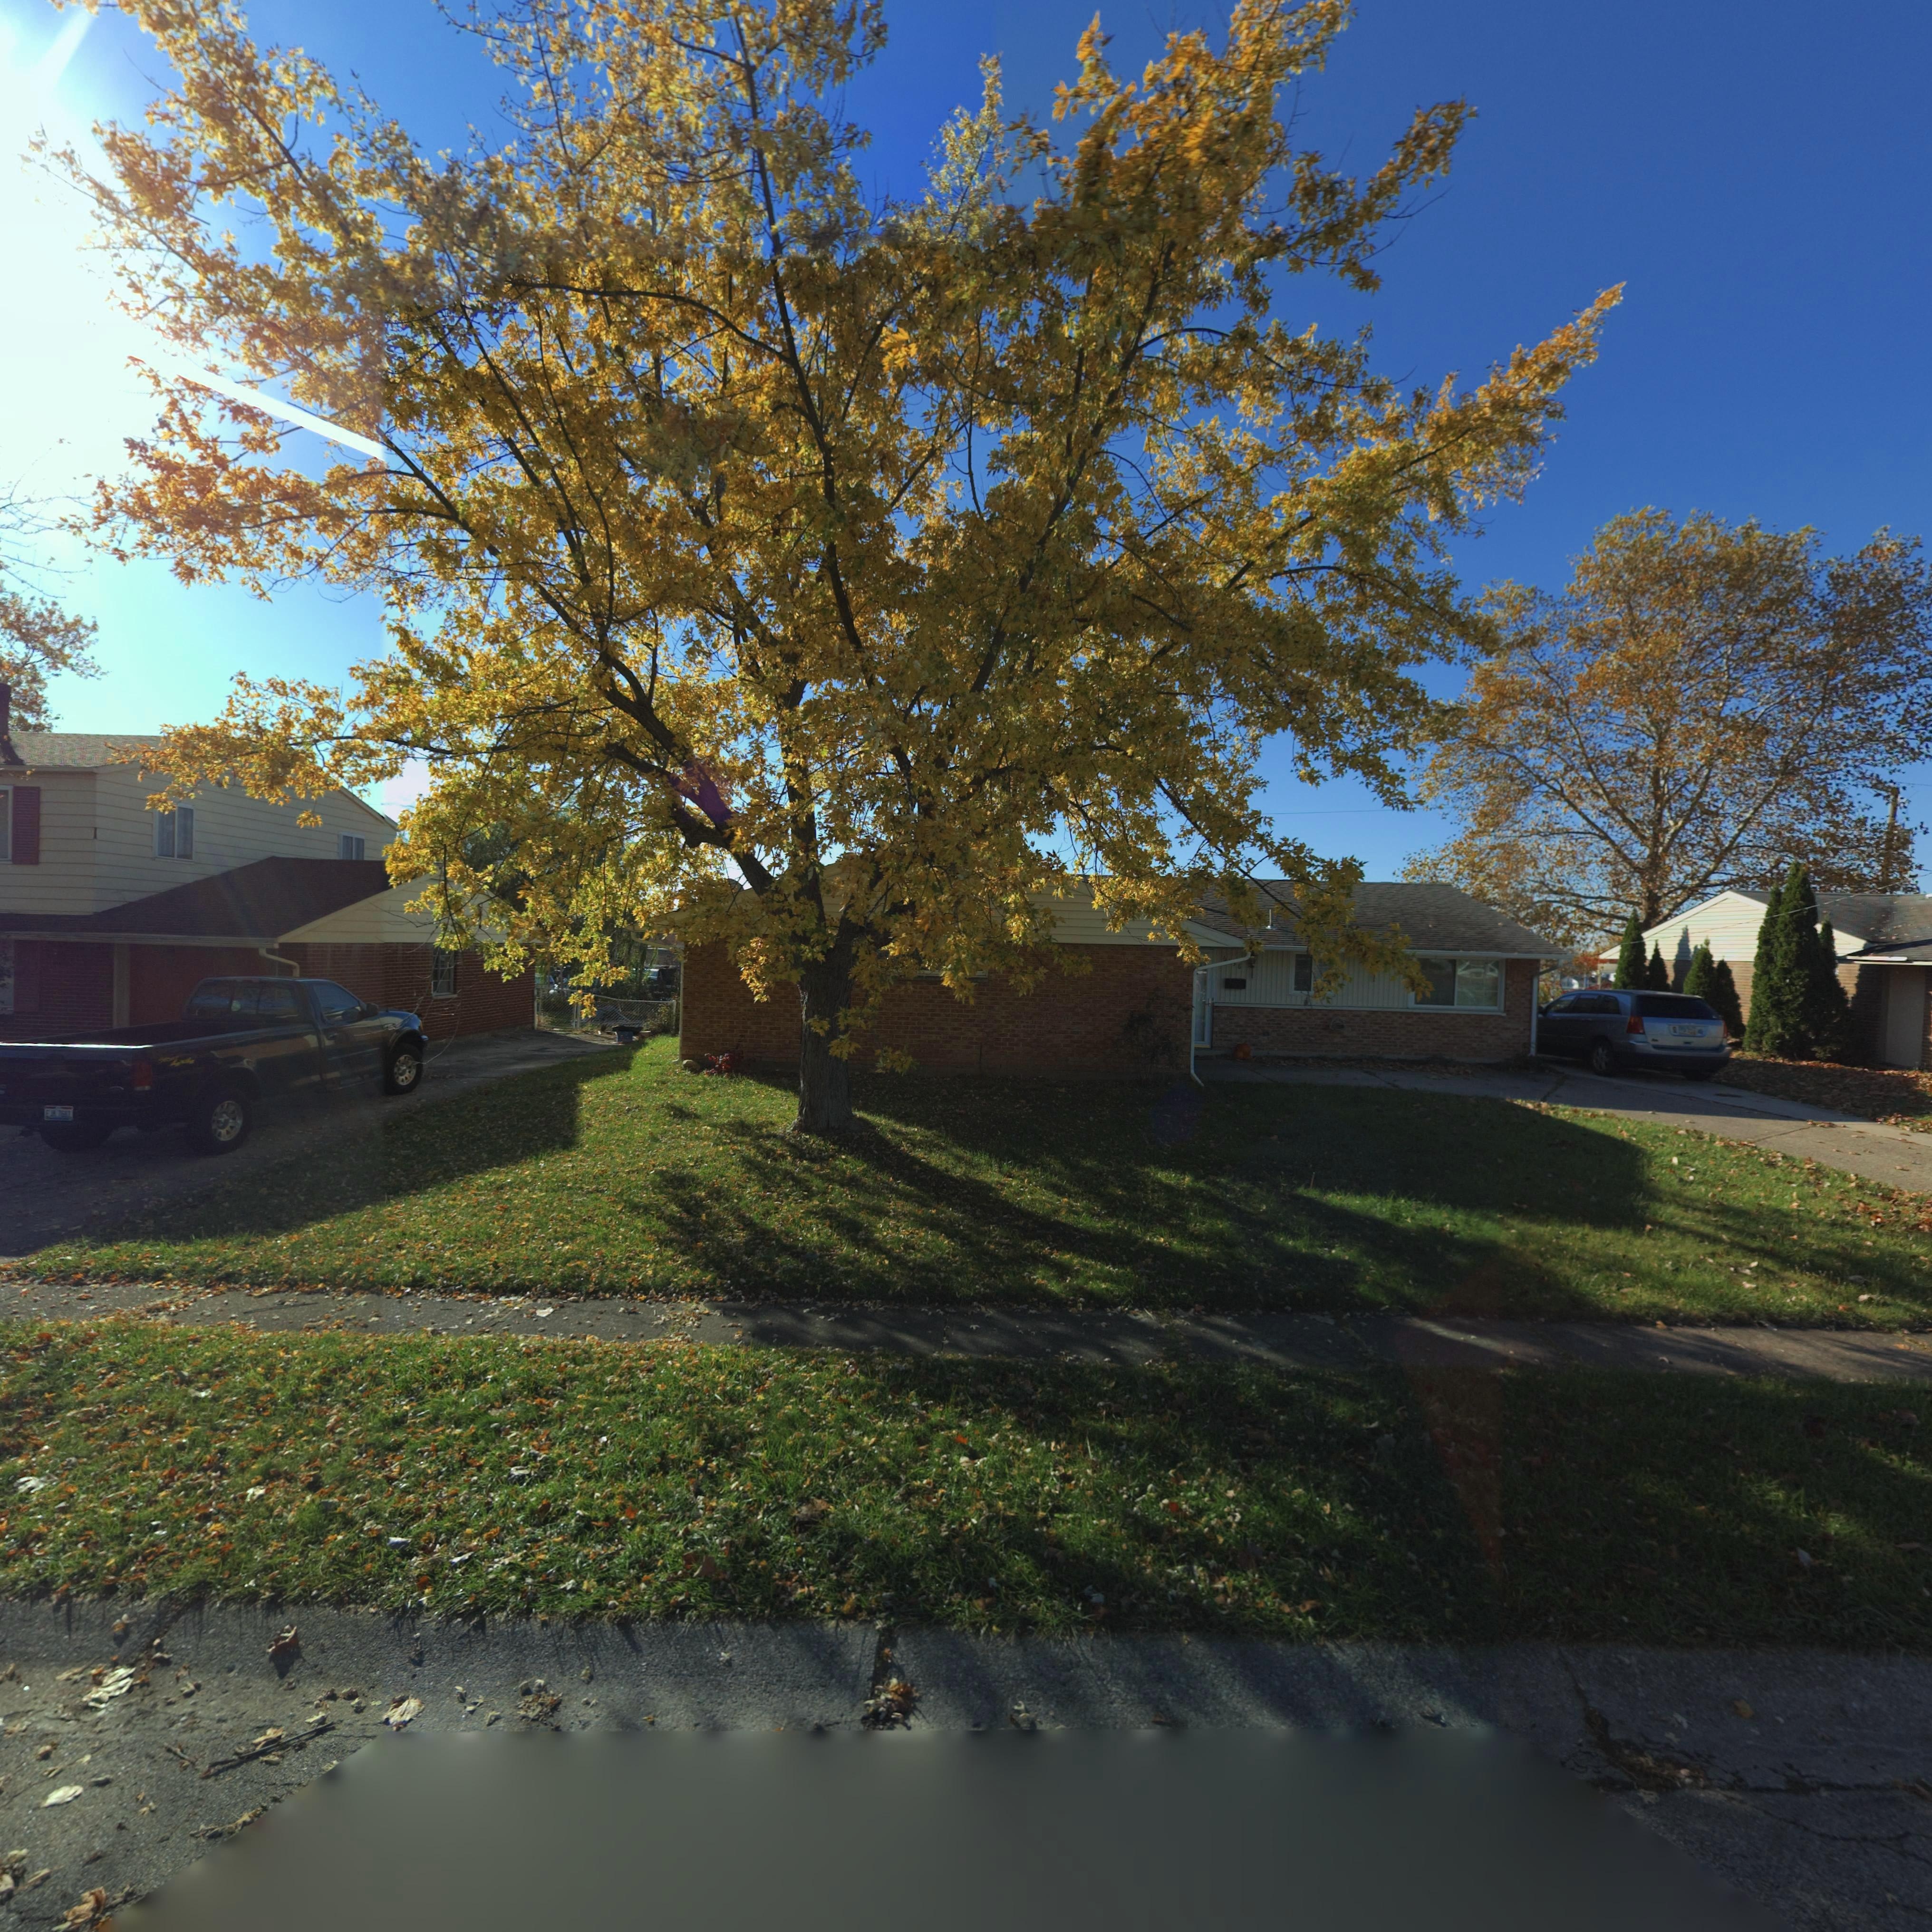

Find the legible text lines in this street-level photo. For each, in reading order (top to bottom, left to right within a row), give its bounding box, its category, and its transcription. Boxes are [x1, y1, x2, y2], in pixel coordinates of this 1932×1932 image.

[1222, 954, 1242, 970] StreetNumber: 6**8